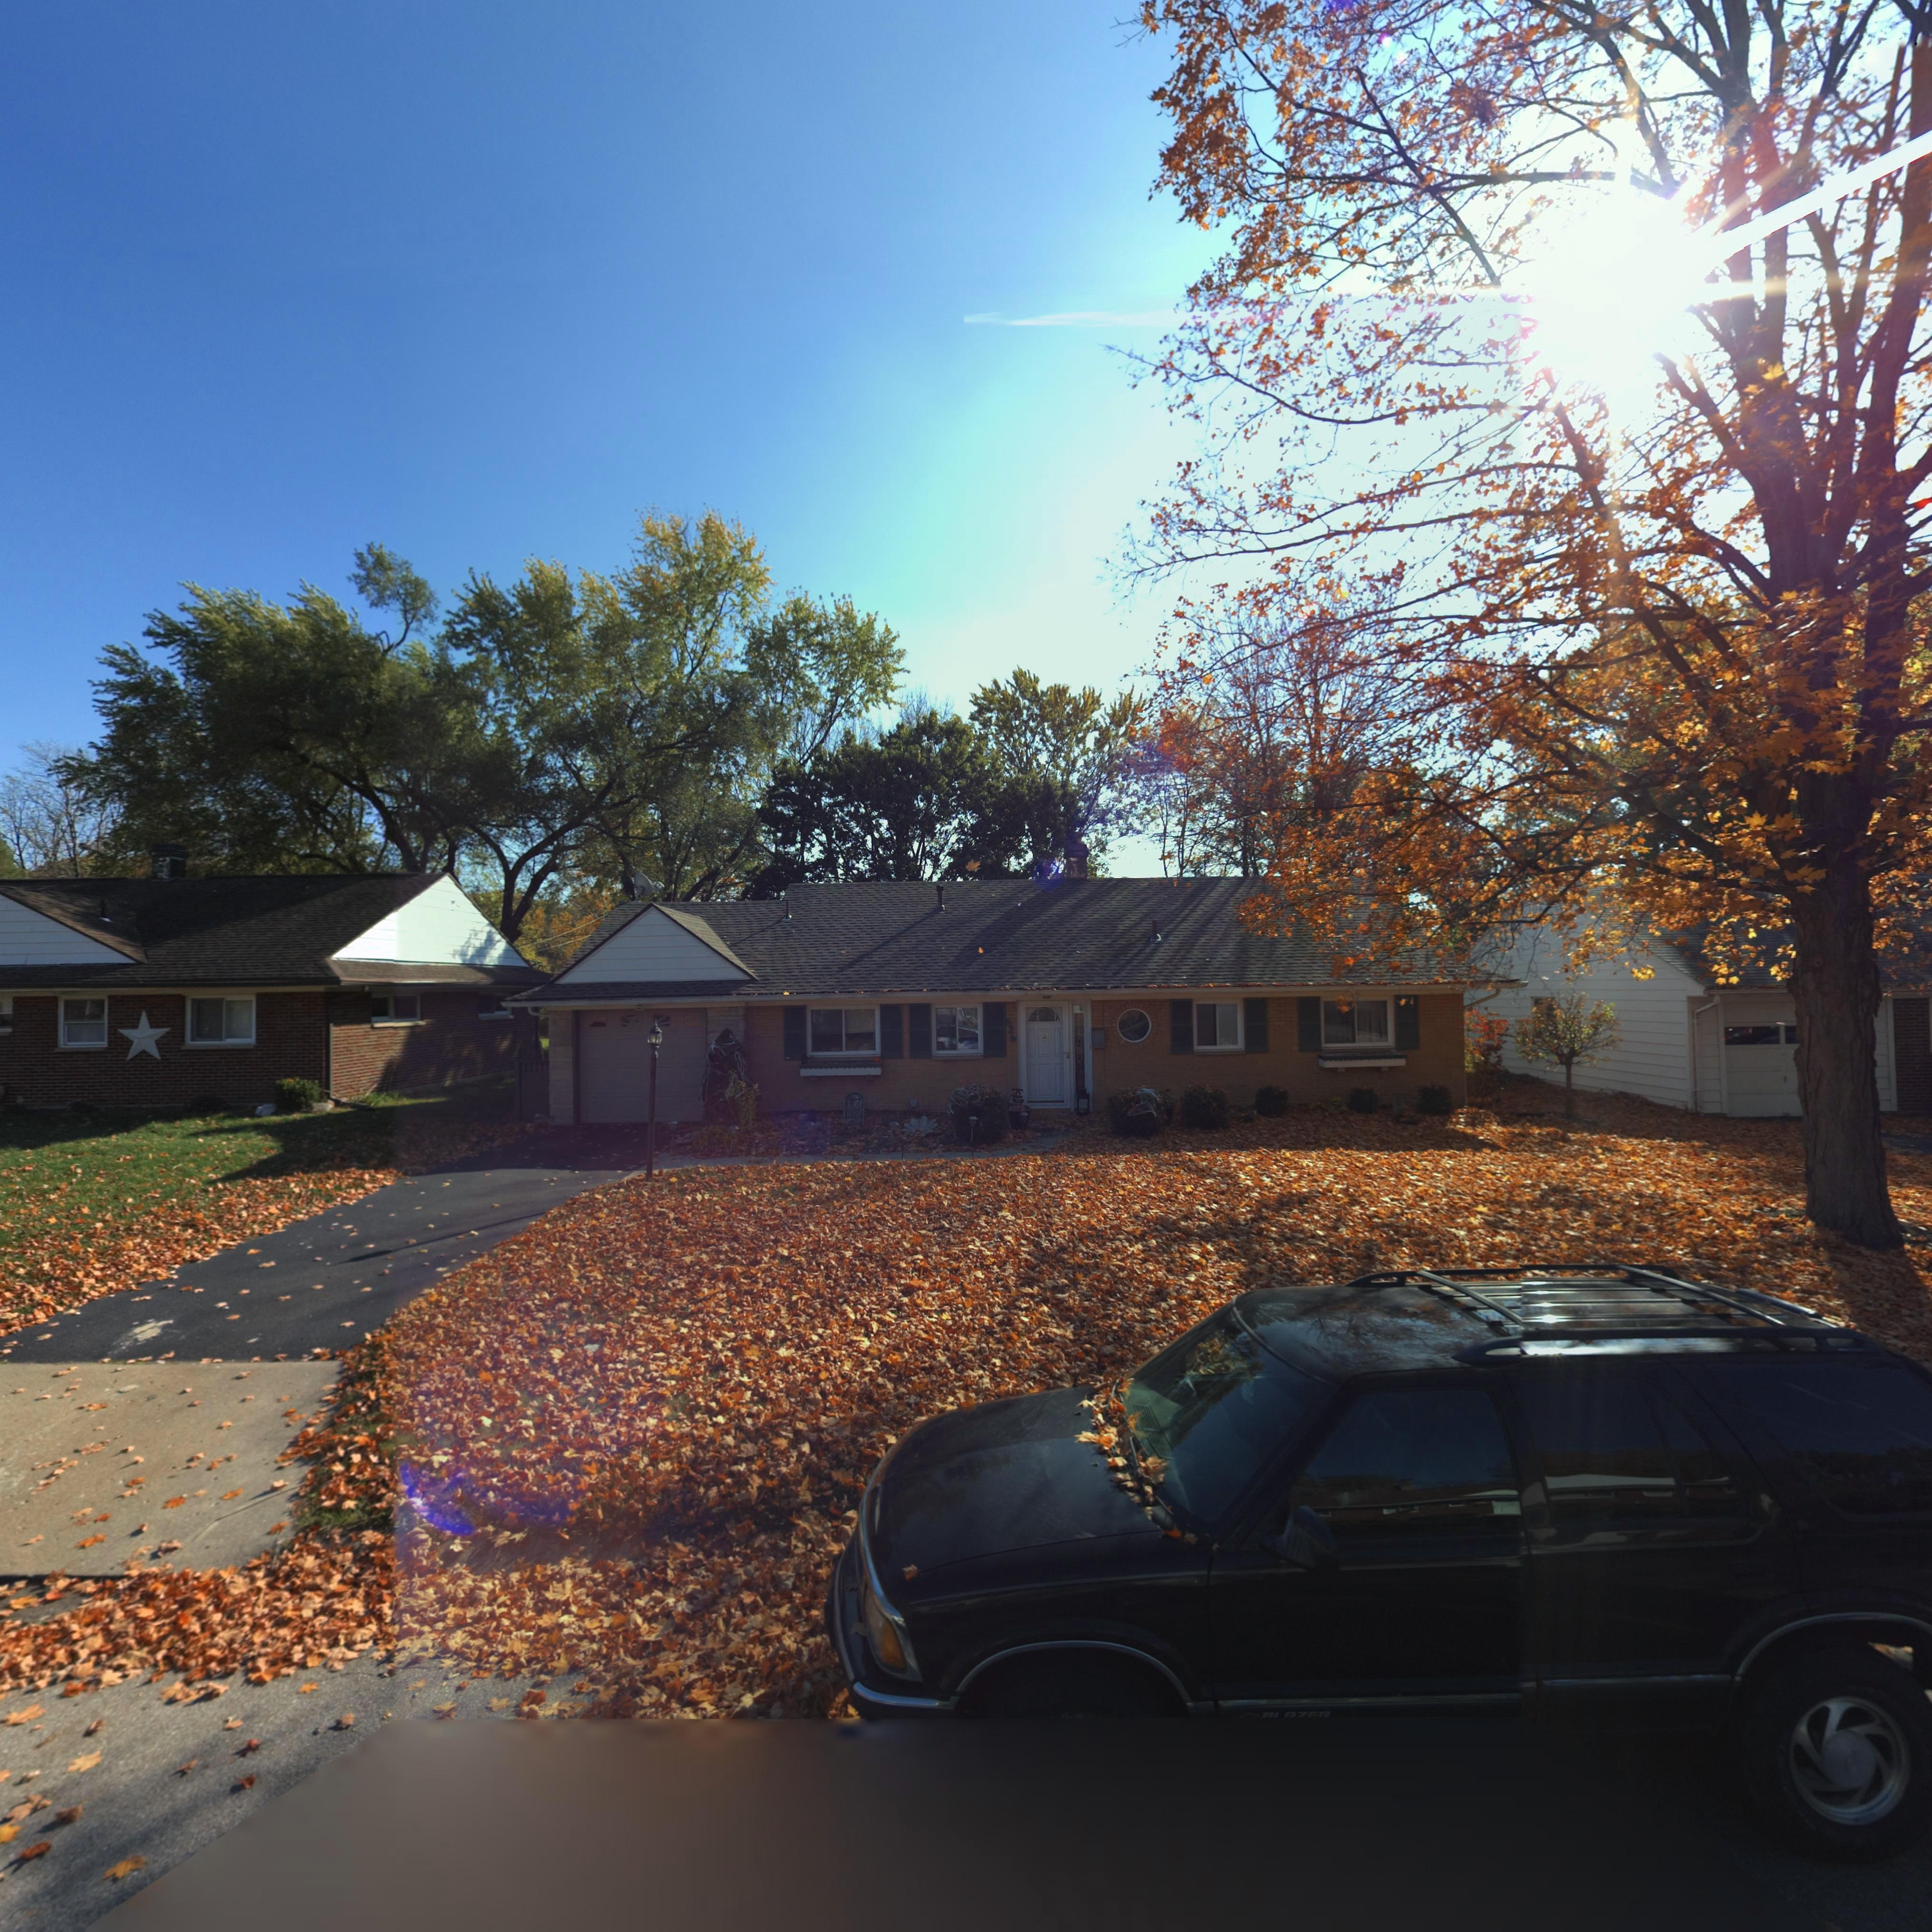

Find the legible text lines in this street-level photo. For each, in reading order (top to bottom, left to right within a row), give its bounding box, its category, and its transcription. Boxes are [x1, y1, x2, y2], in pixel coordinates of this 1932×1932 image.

[1005, 1017, 1017, 1043] StreetNumber: 626